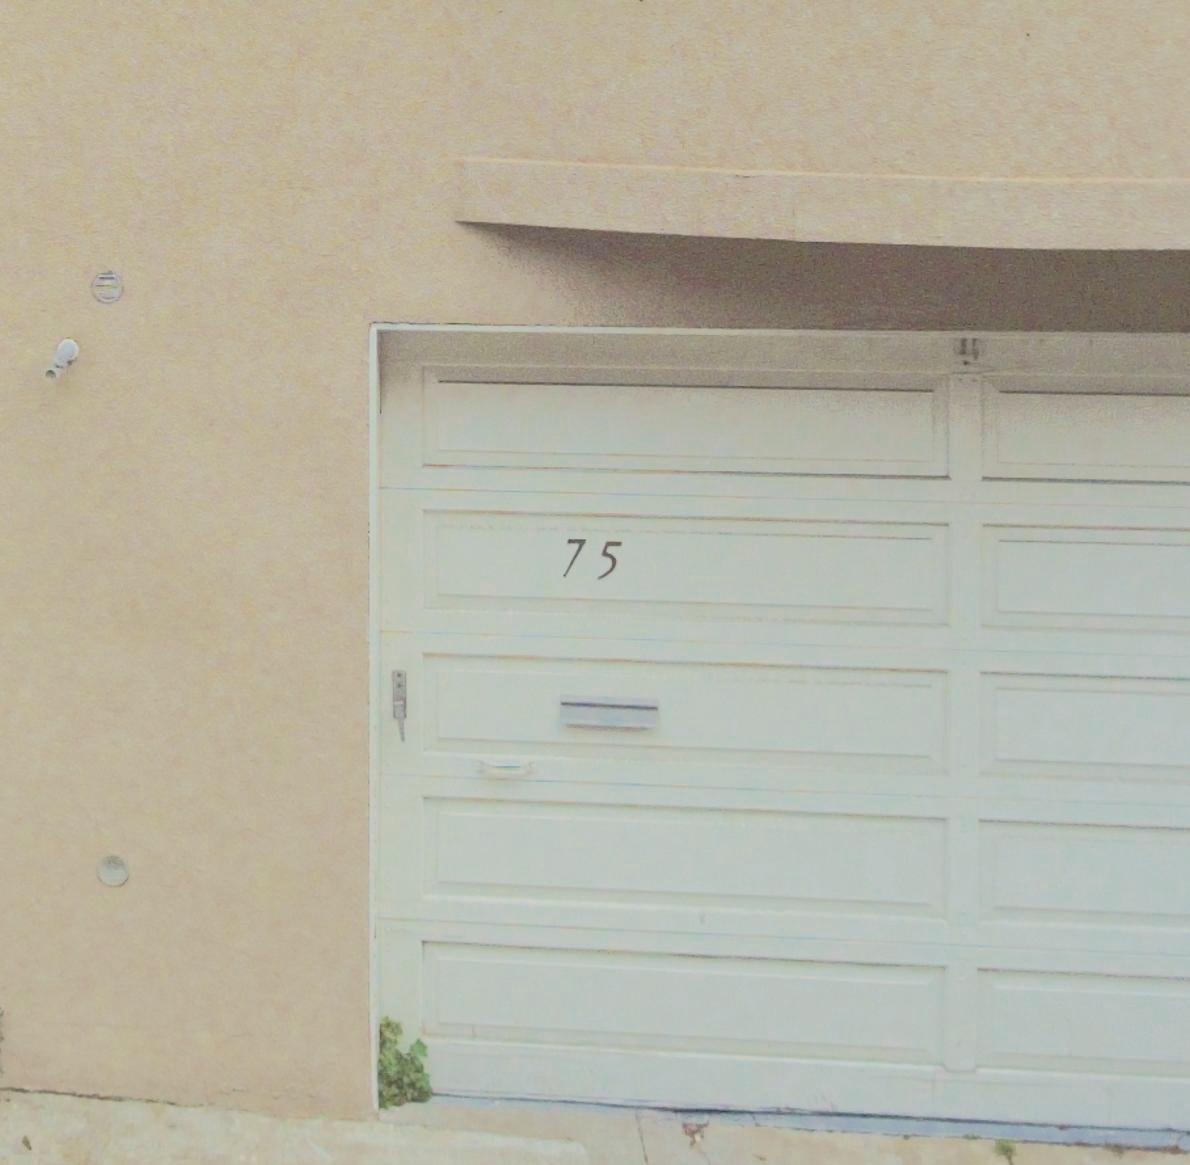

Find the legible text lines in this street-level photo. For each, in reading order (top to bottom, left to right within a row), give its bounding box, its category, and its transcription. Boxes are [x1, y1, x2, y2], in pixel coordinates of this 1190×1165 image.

[560, 536, 625, 582] StreetNumber: 75